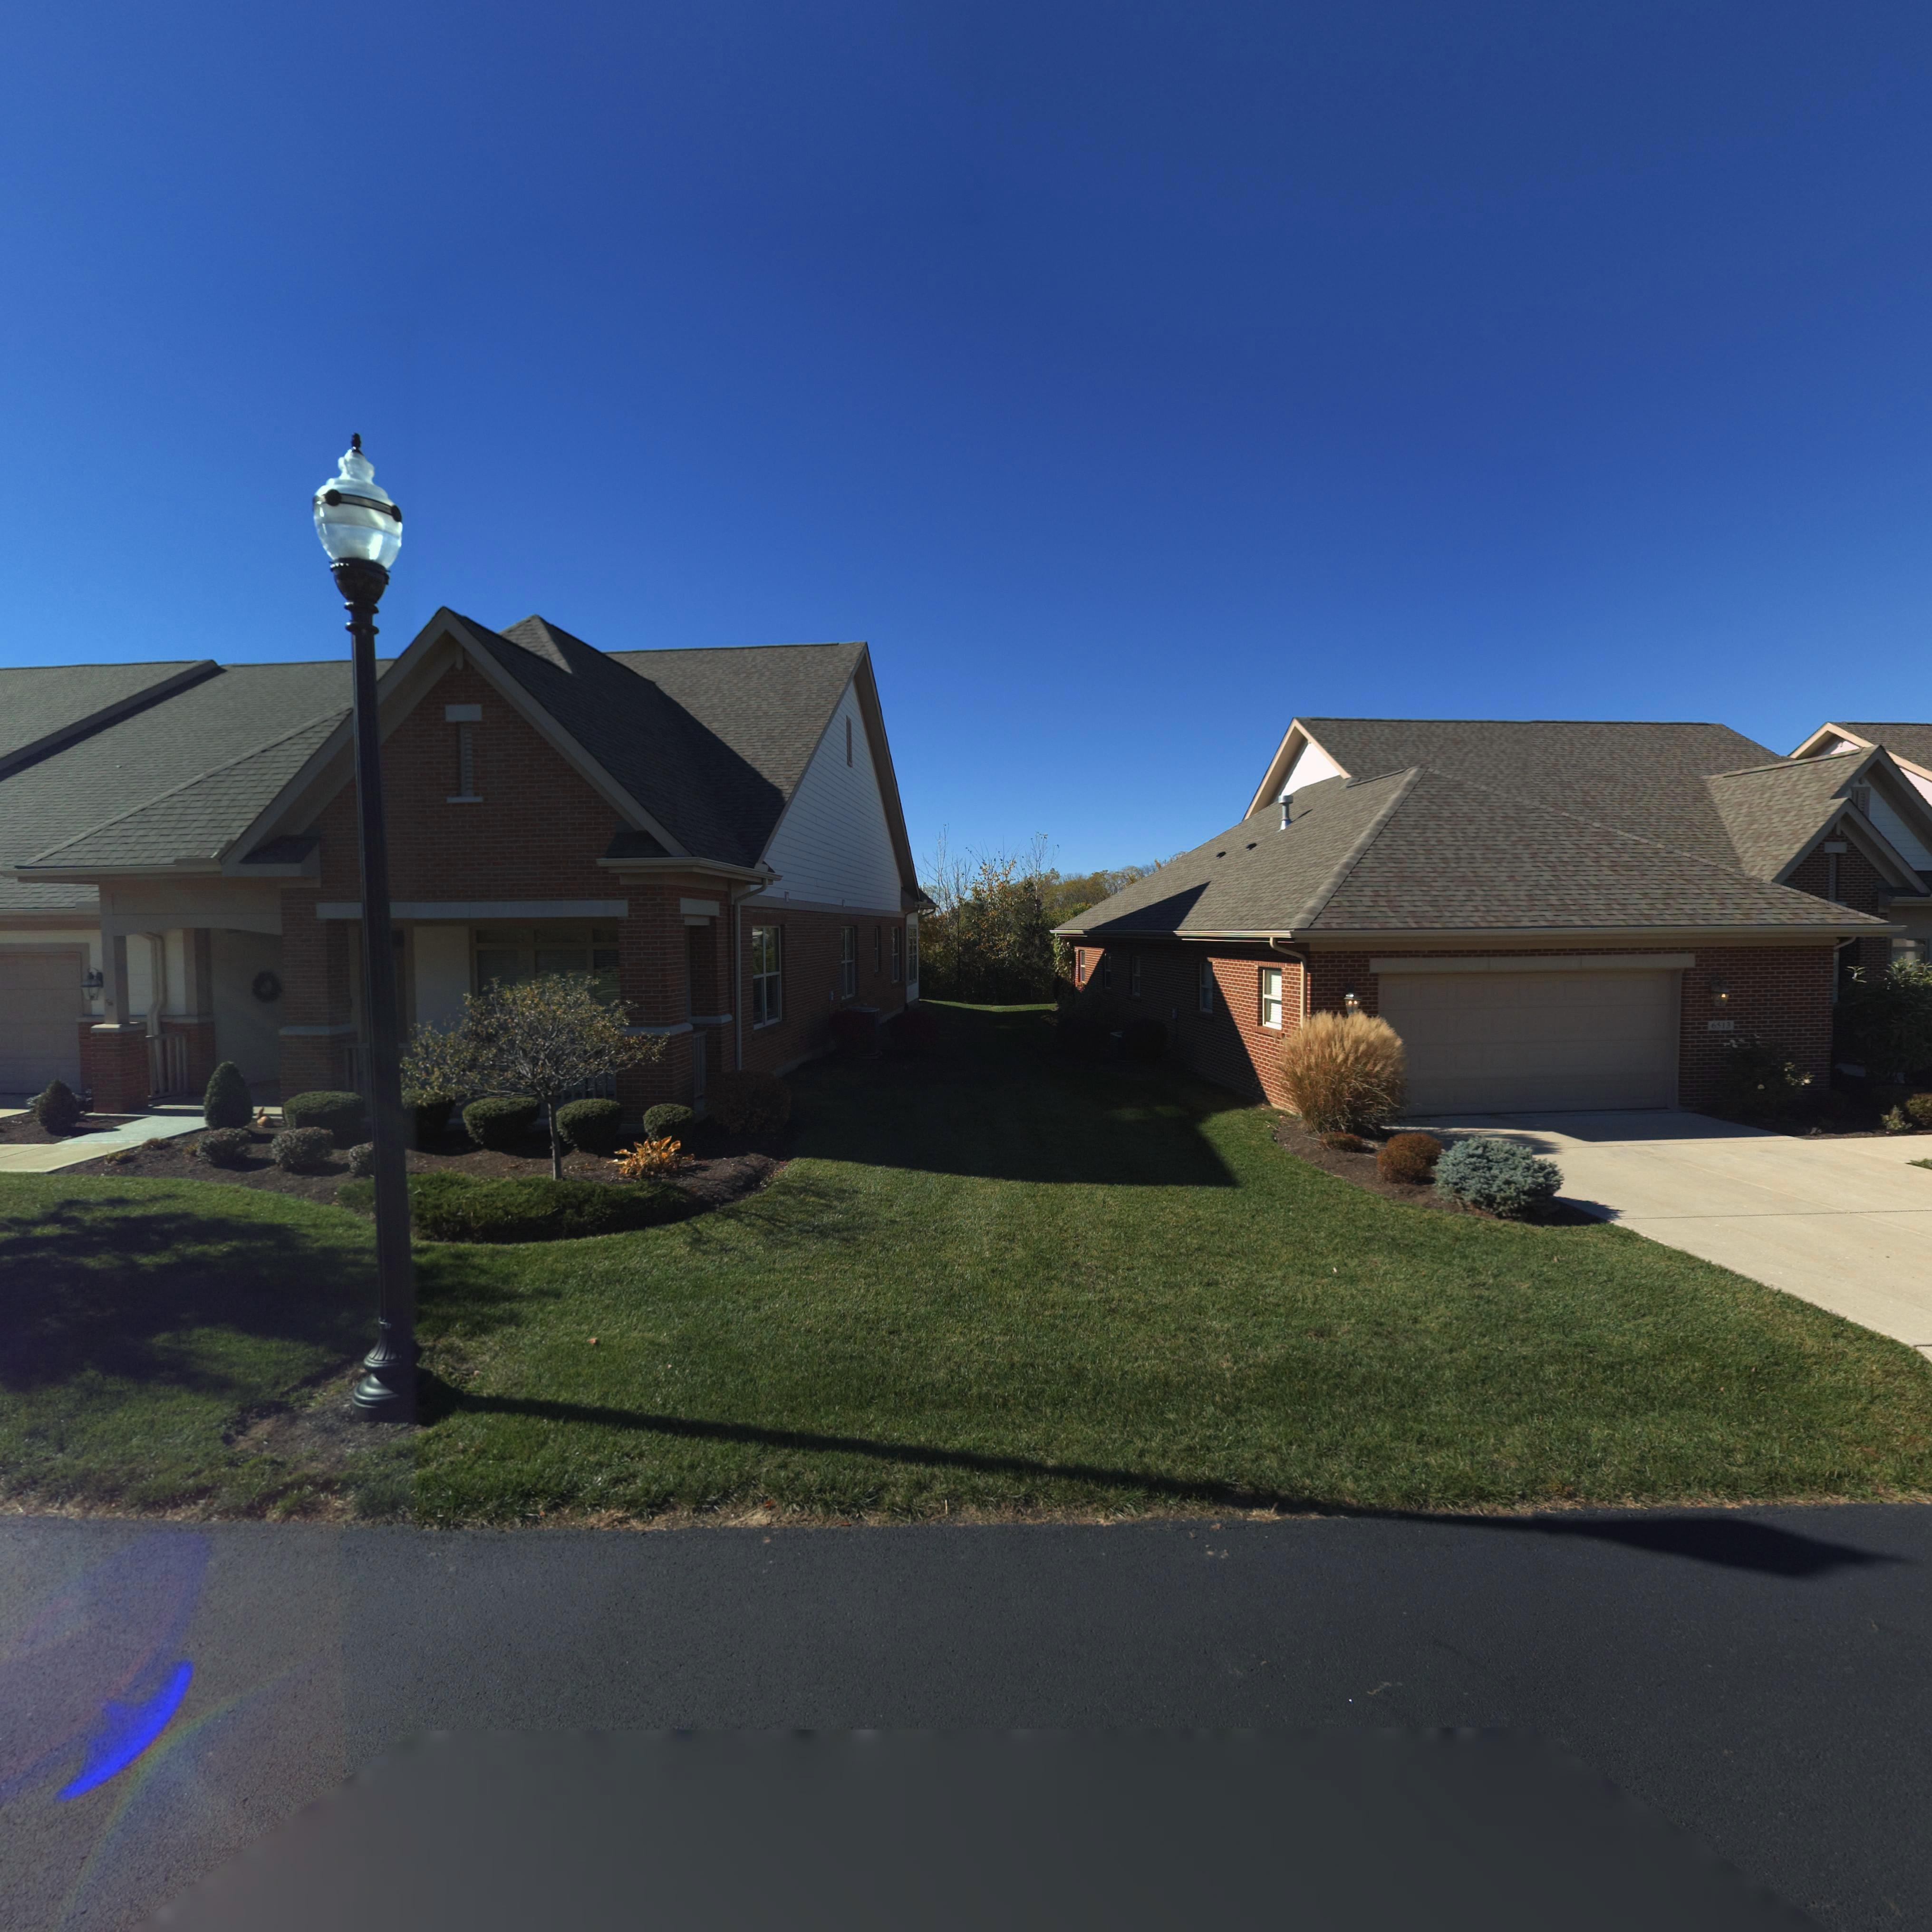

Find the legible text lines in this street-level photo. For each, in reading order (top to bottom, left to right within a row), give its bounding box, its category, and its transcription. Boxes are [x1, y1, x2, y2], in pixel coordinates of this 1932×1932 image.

[1710, 1021, 1731, 1030] StreetNumber: 6513